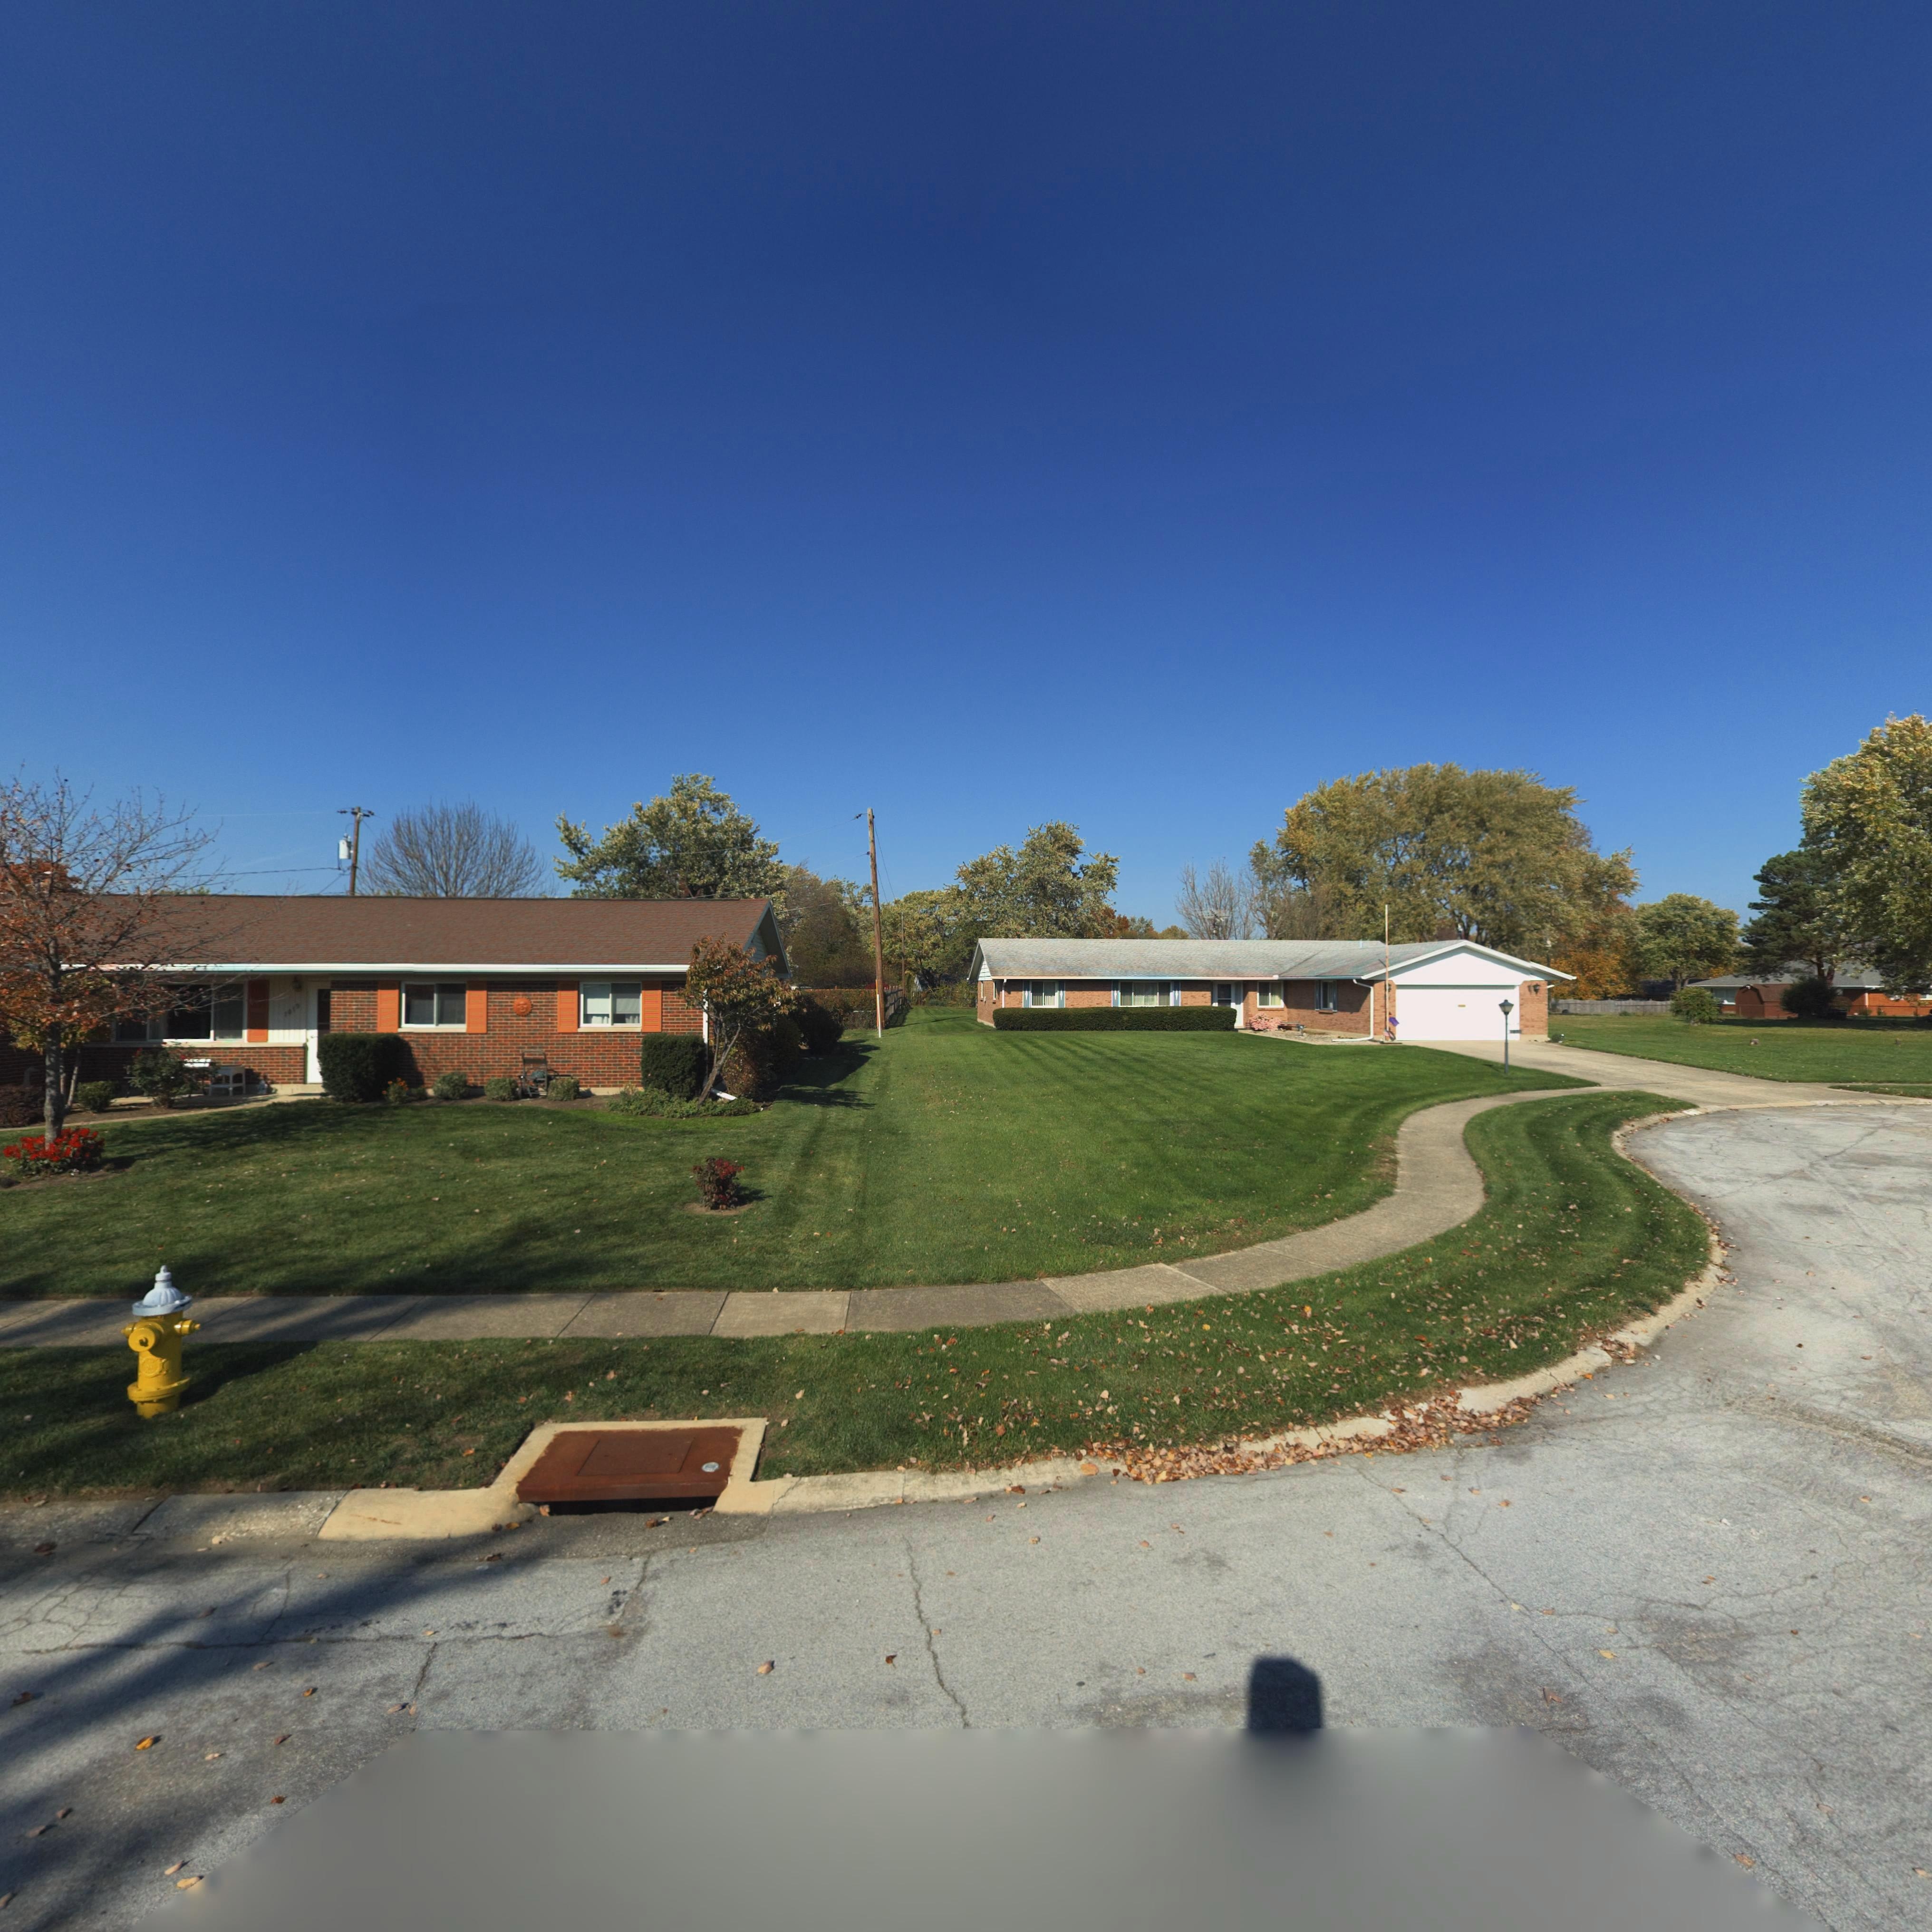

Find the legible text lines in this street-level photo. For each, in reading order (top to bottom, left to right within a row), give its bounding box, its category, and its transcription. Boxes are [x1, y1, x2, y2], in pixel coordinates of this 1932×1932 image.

[283, 1002, 301, 1018] StreetNumber: 1*19